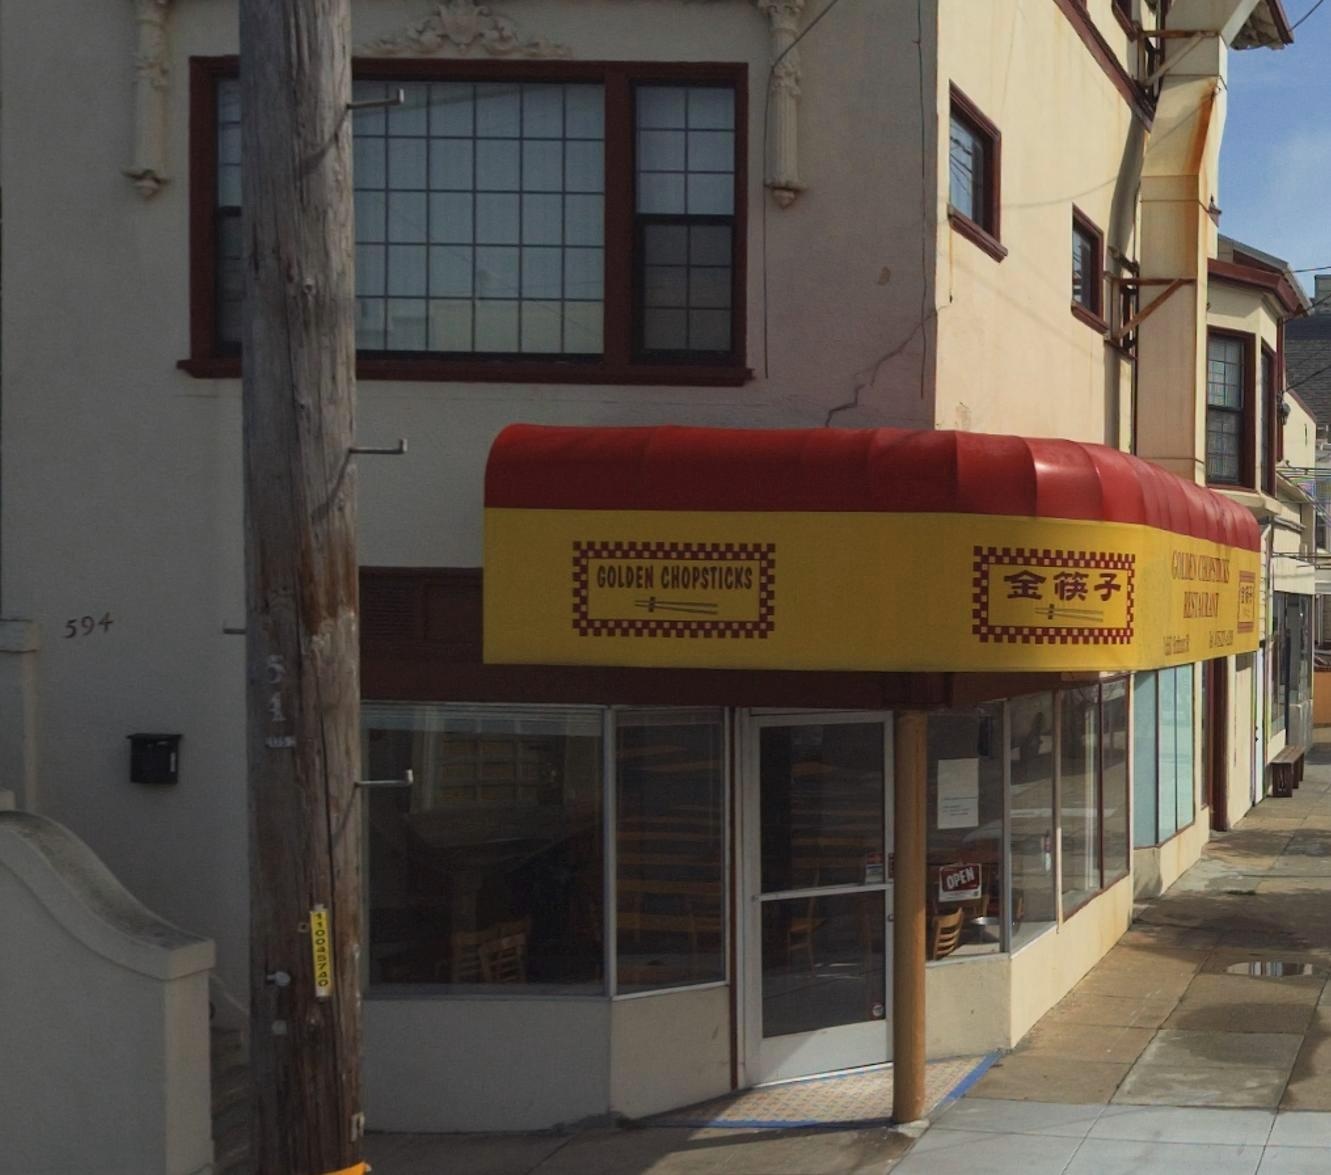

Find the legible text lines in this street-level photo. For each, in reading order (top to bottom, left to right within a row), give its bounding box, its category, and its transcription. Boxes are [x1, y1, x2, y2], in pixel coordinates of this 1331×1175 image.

[595, 563, 755, 591] BusinessName: GOLDEN CHOPSTICKS
[57, 601, 119, 642] StreetNumber: 594
[260, 648, 291, 728] None: 54
[942, 863, 978, 893] None: OPEN
[306, 908, 331, 993] None: 110045740